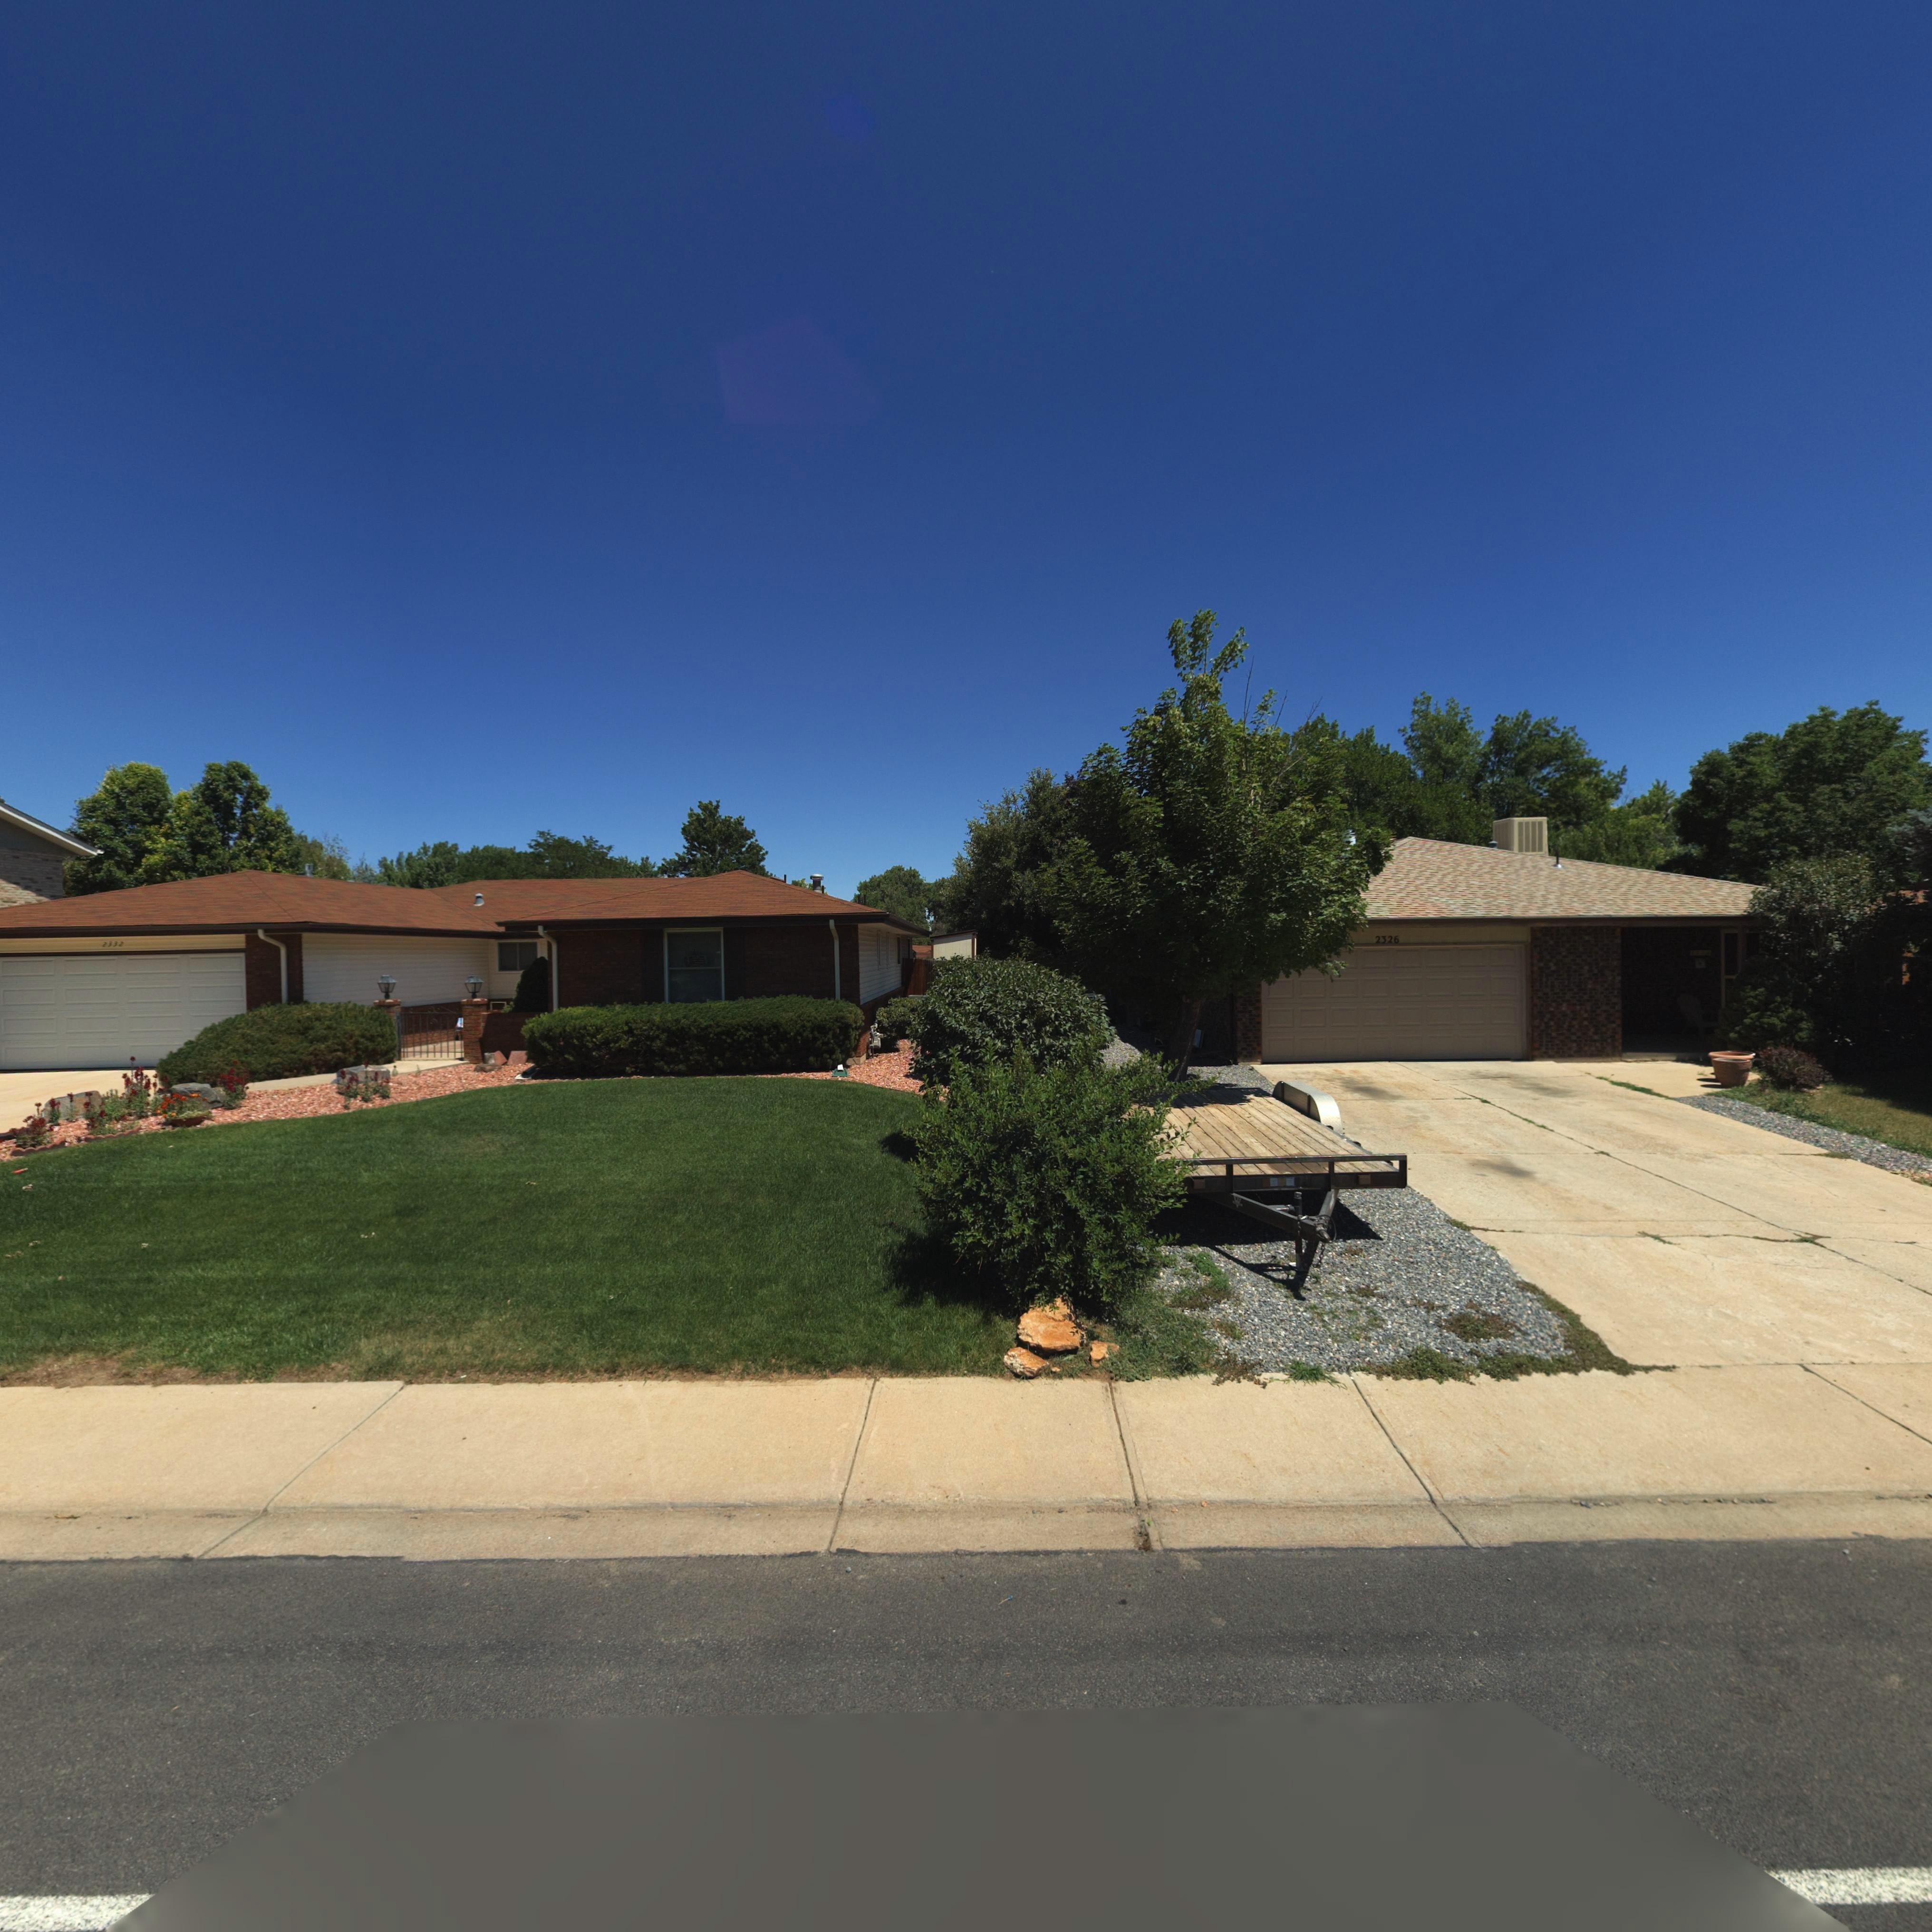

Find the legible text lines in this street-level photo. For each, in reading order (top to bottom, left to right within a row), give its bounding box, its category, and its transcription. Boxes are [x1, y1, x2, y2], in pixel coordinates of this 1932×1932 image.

[102, 941, 124, 947] StreetNumber: 2332
[1375, 935, 1400, 944] StreetNumber: 2326